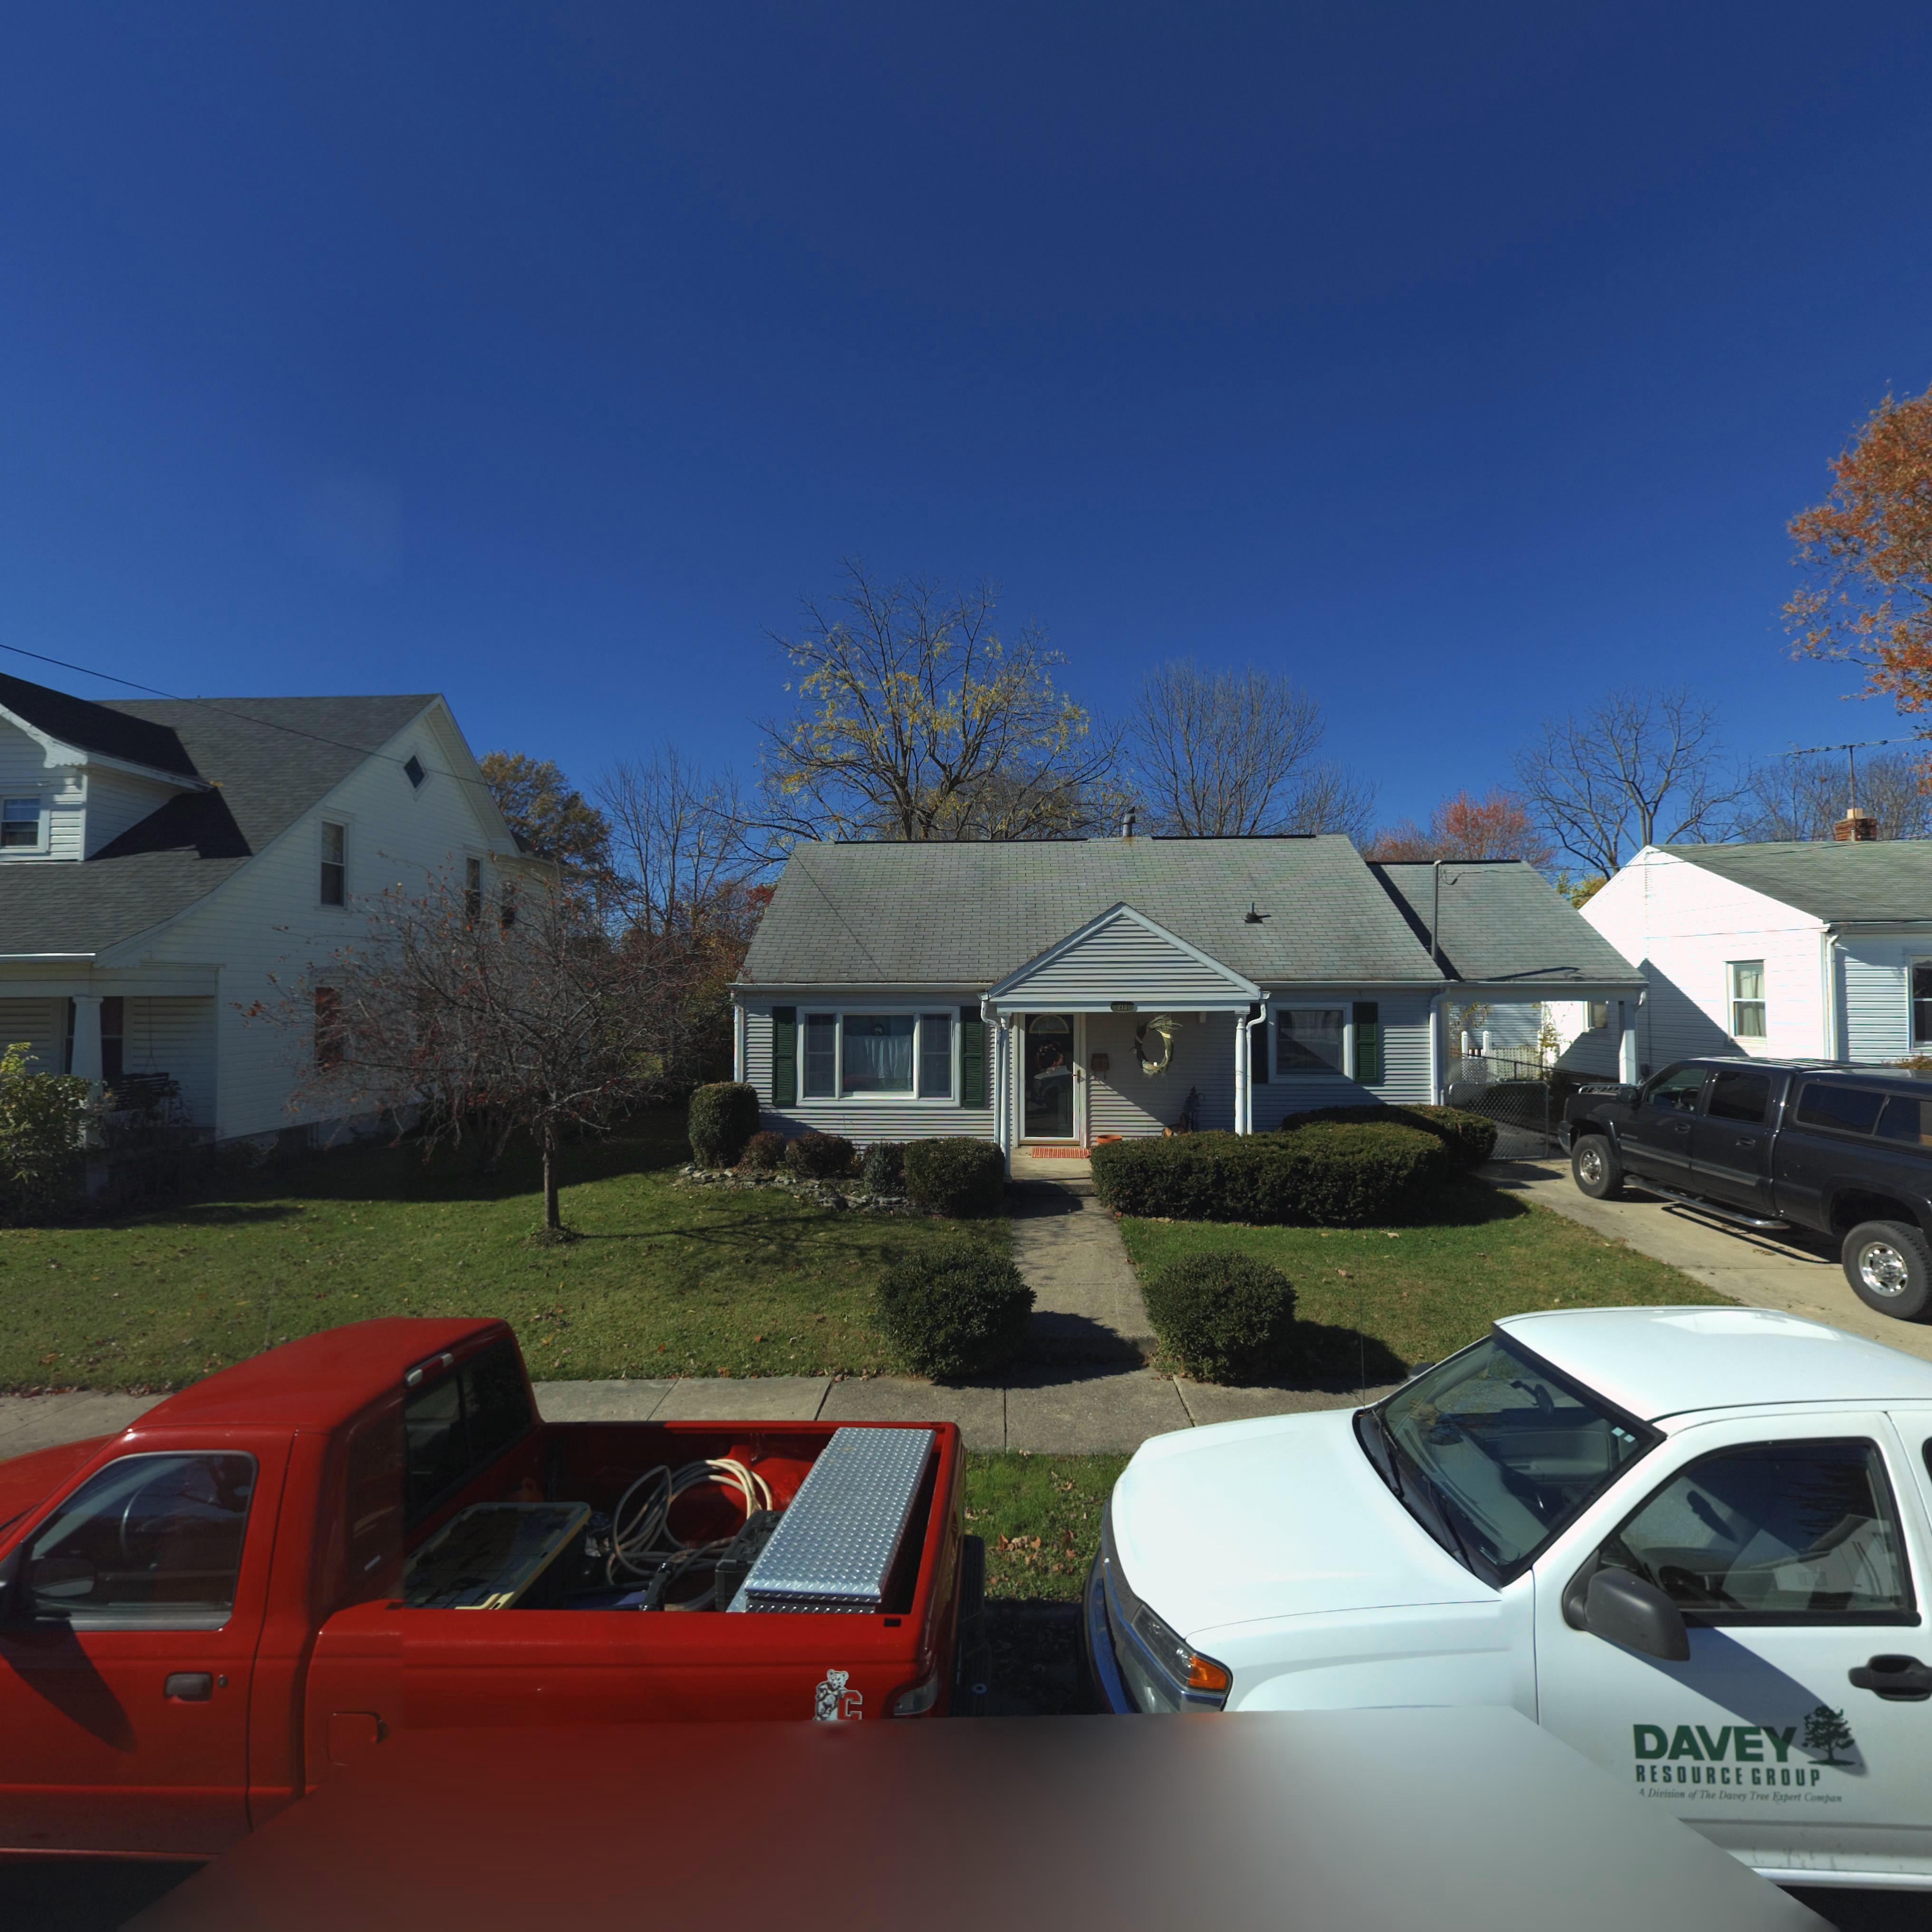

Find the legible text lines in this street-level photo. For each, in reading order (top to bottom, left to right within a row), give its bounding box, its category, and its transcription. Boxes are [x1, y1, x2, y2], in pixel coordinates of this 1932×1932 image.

[1117, 1004, 1128, 1011] StreetNumber: 213
[1632, 1723, 1801, 1764] None: DAVEY
[1634, 1764, 1821, 1787] None: RESOURCE GROUP
[1646, 1787, 1844, 1806] None: Division of The Davey Tree Expert Compan